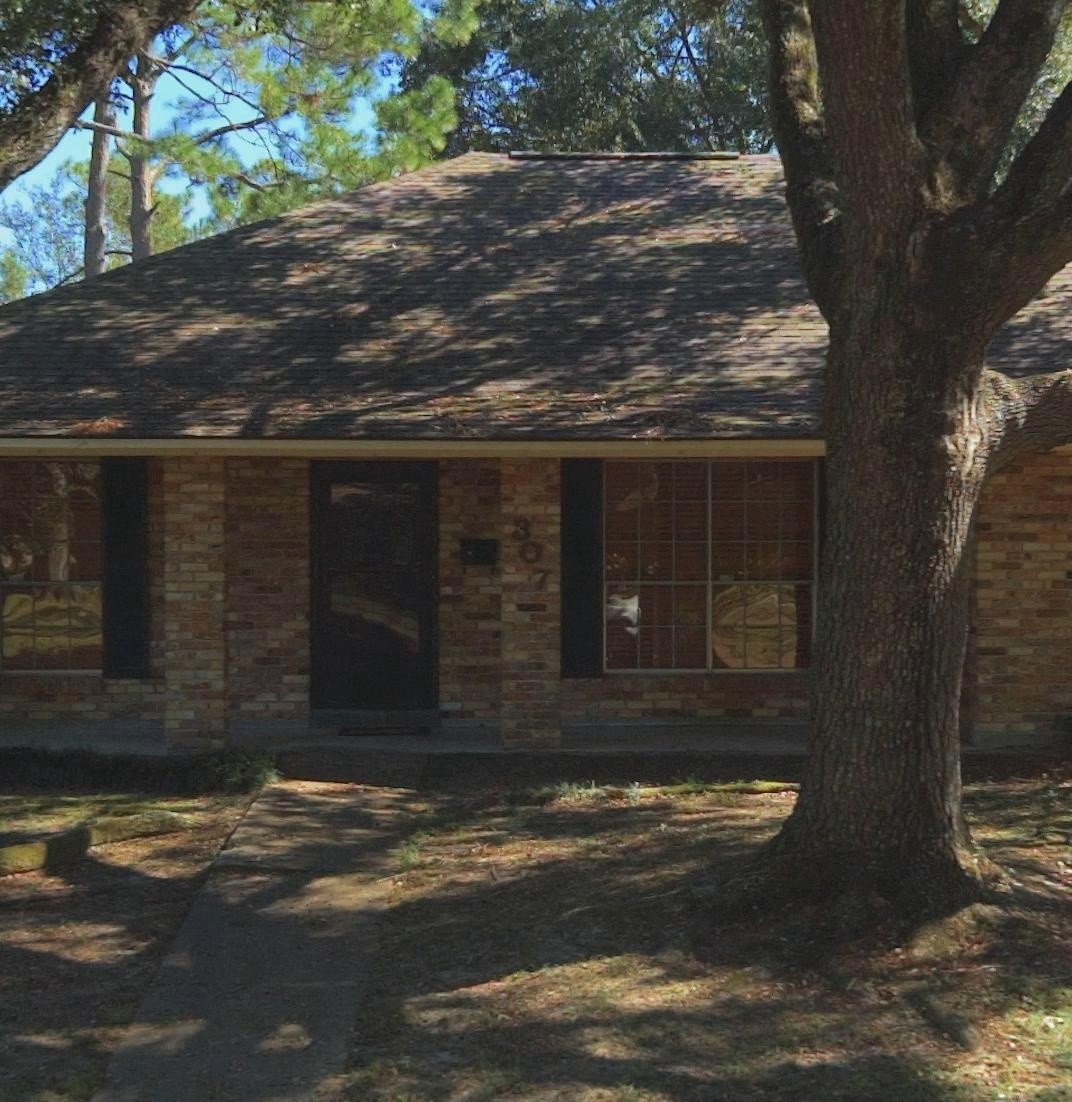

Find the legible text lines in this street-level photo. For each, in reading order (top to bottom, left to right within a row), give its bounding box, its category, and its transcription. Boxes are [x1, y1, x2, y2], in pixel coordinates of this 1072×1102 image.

[510, 514, 555, 592] StreetNumber: 307